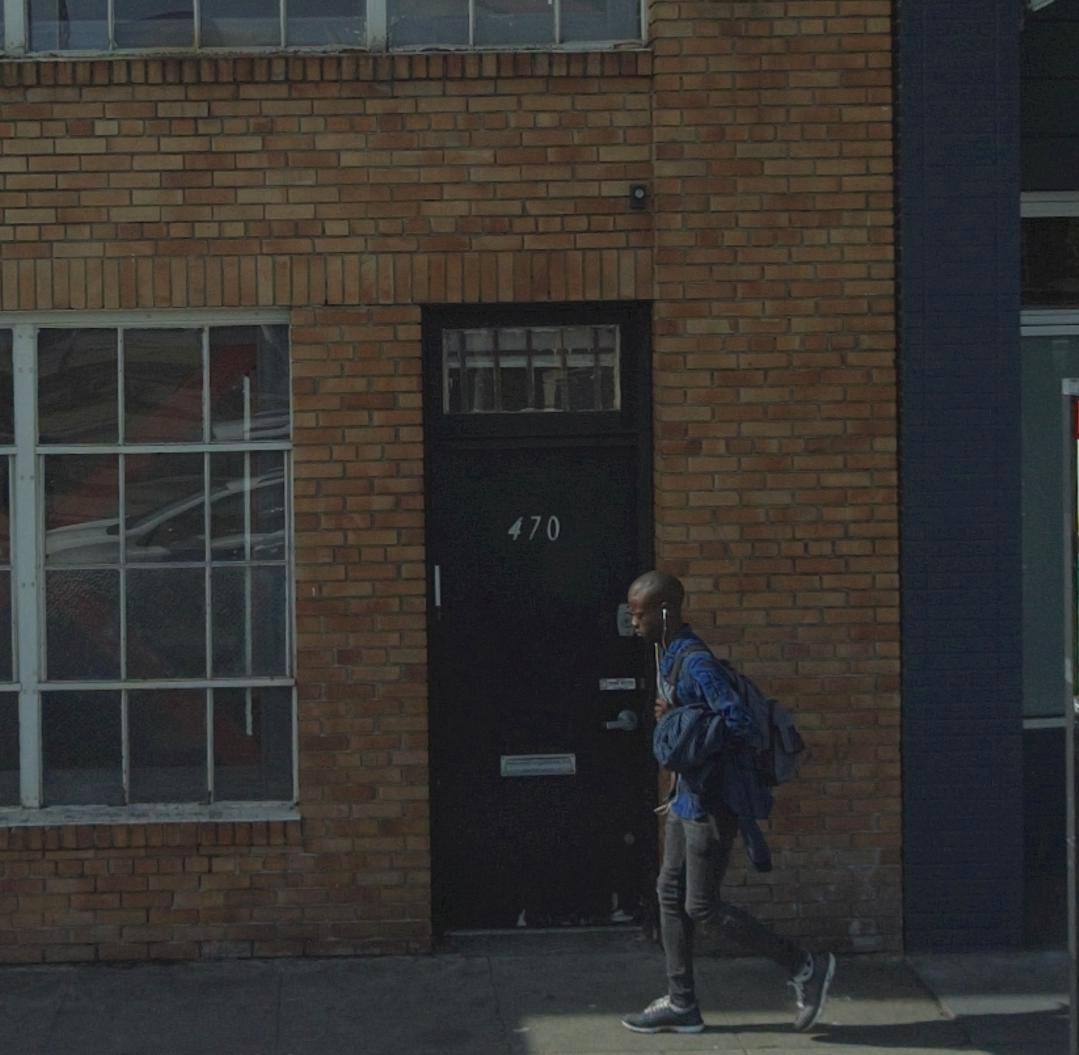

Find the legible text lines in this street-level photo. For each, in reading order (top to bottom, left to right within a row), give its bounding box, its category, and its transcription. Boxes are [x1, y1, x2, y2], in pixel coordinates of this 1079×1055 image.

[495, 511, 564, 548] StreetNumber: 470